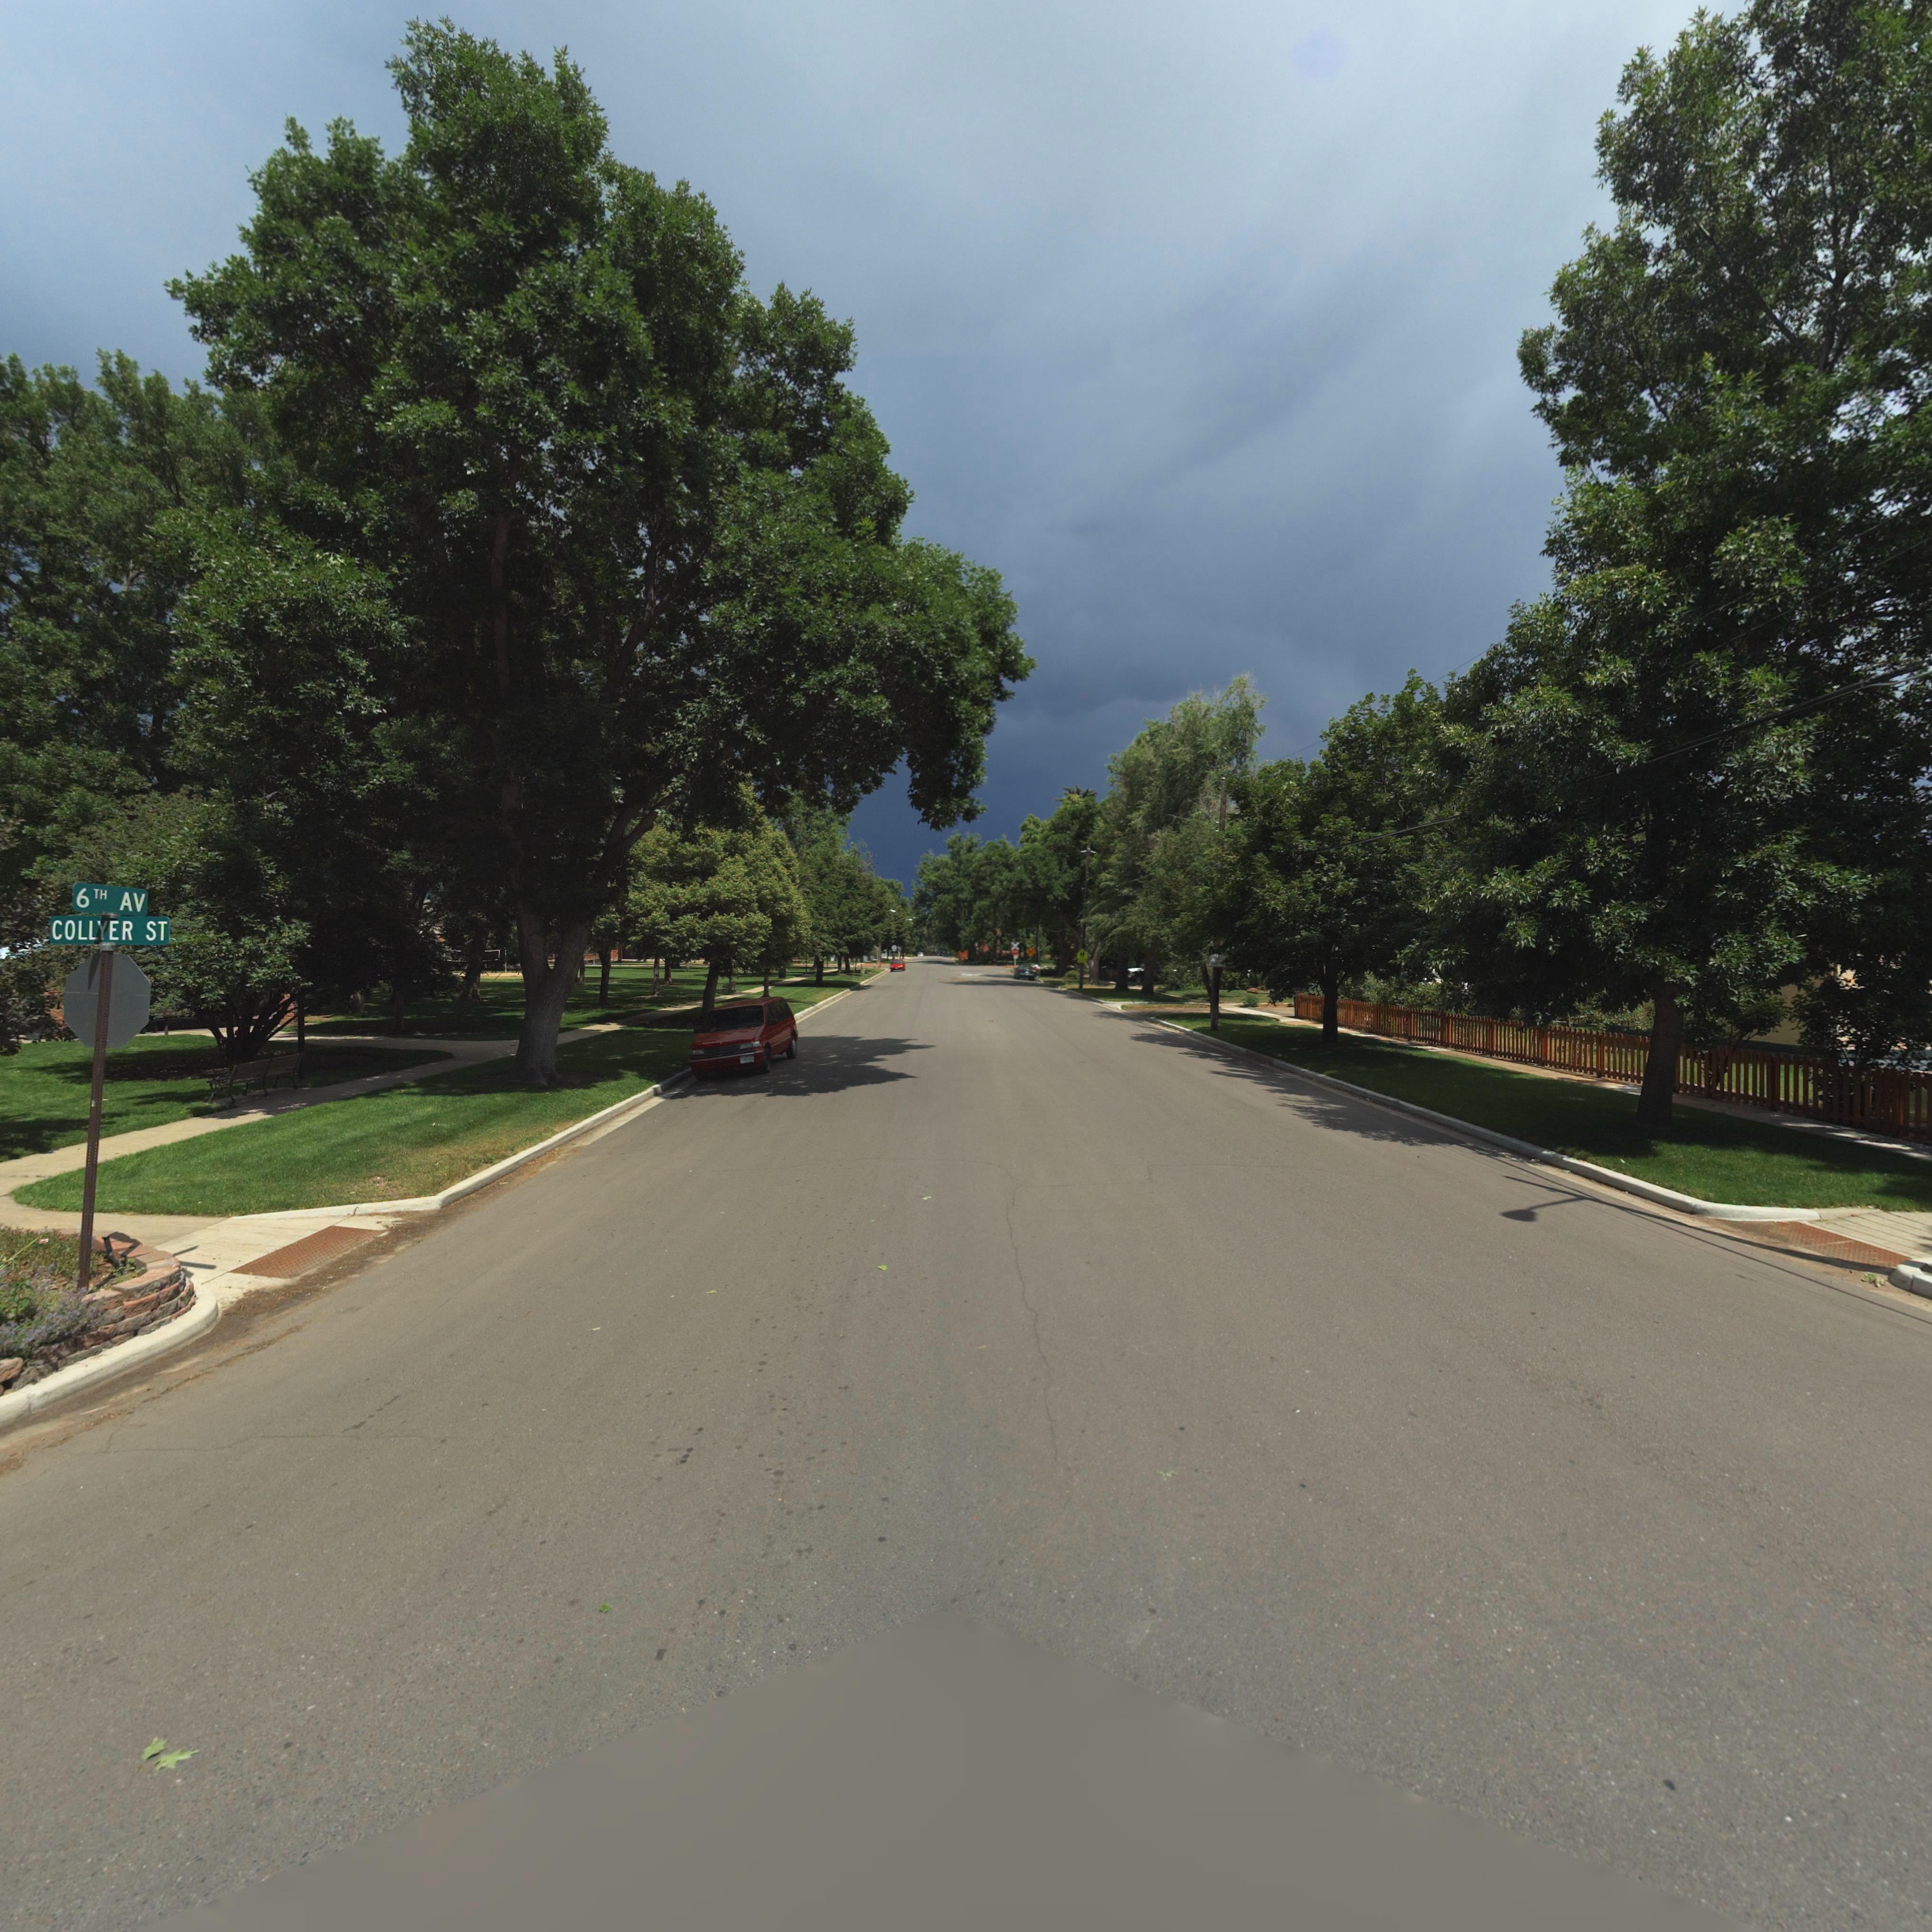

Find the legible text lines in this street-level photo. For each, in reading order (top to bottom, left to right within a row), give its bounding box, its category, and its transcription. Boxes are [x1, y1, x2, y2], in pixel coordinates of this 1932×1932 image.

[75, 886, 147, 912] StreetName: 6TH AV
[51, 919, 168, 941] StreetName: COLLYER ST